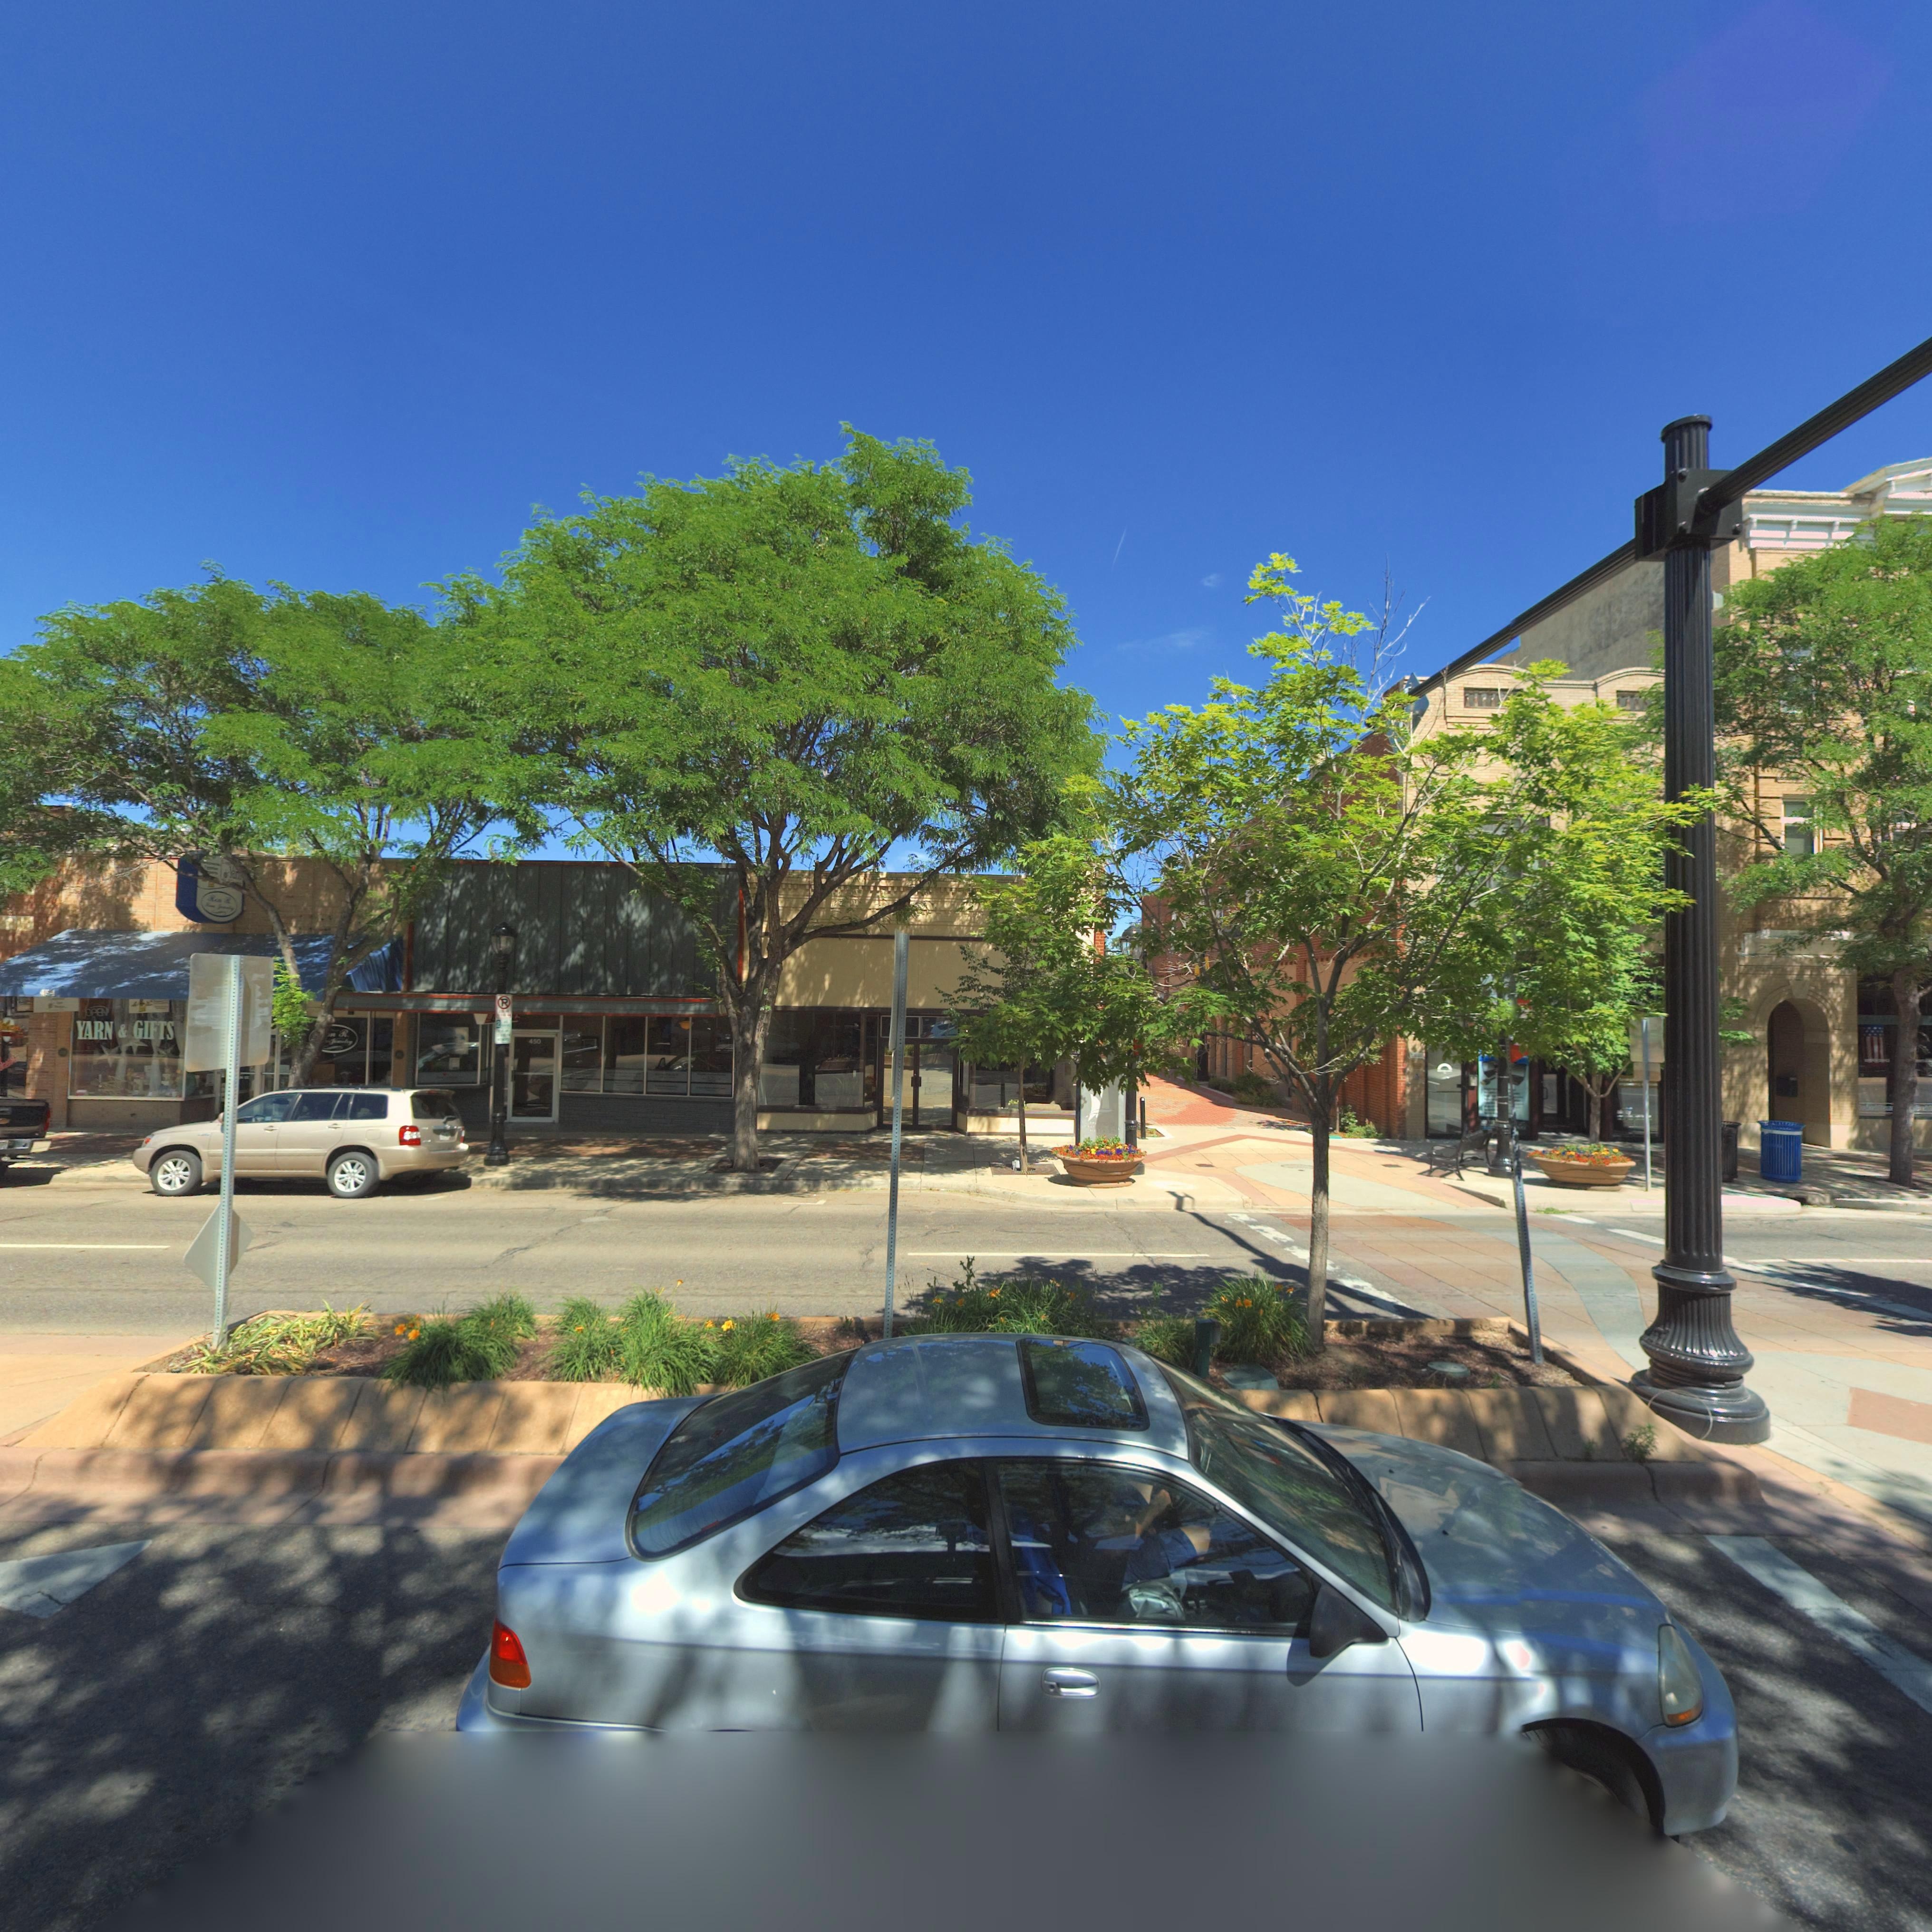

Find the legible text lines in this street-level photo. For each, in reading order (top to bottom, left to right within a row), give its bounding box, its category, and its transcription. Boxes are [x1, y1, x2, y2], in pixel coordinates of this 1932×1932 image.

[206, 893, 232, 905] None: R** R
[39, 988, 56, 996] StreetNumber: 454
[338, 1028, 350, 1038] BusinessName: R
[328, 1037, 353, 1046] BusinessName: Jewlery
[529, 1039, 541, 1044] StreetNumber: 450